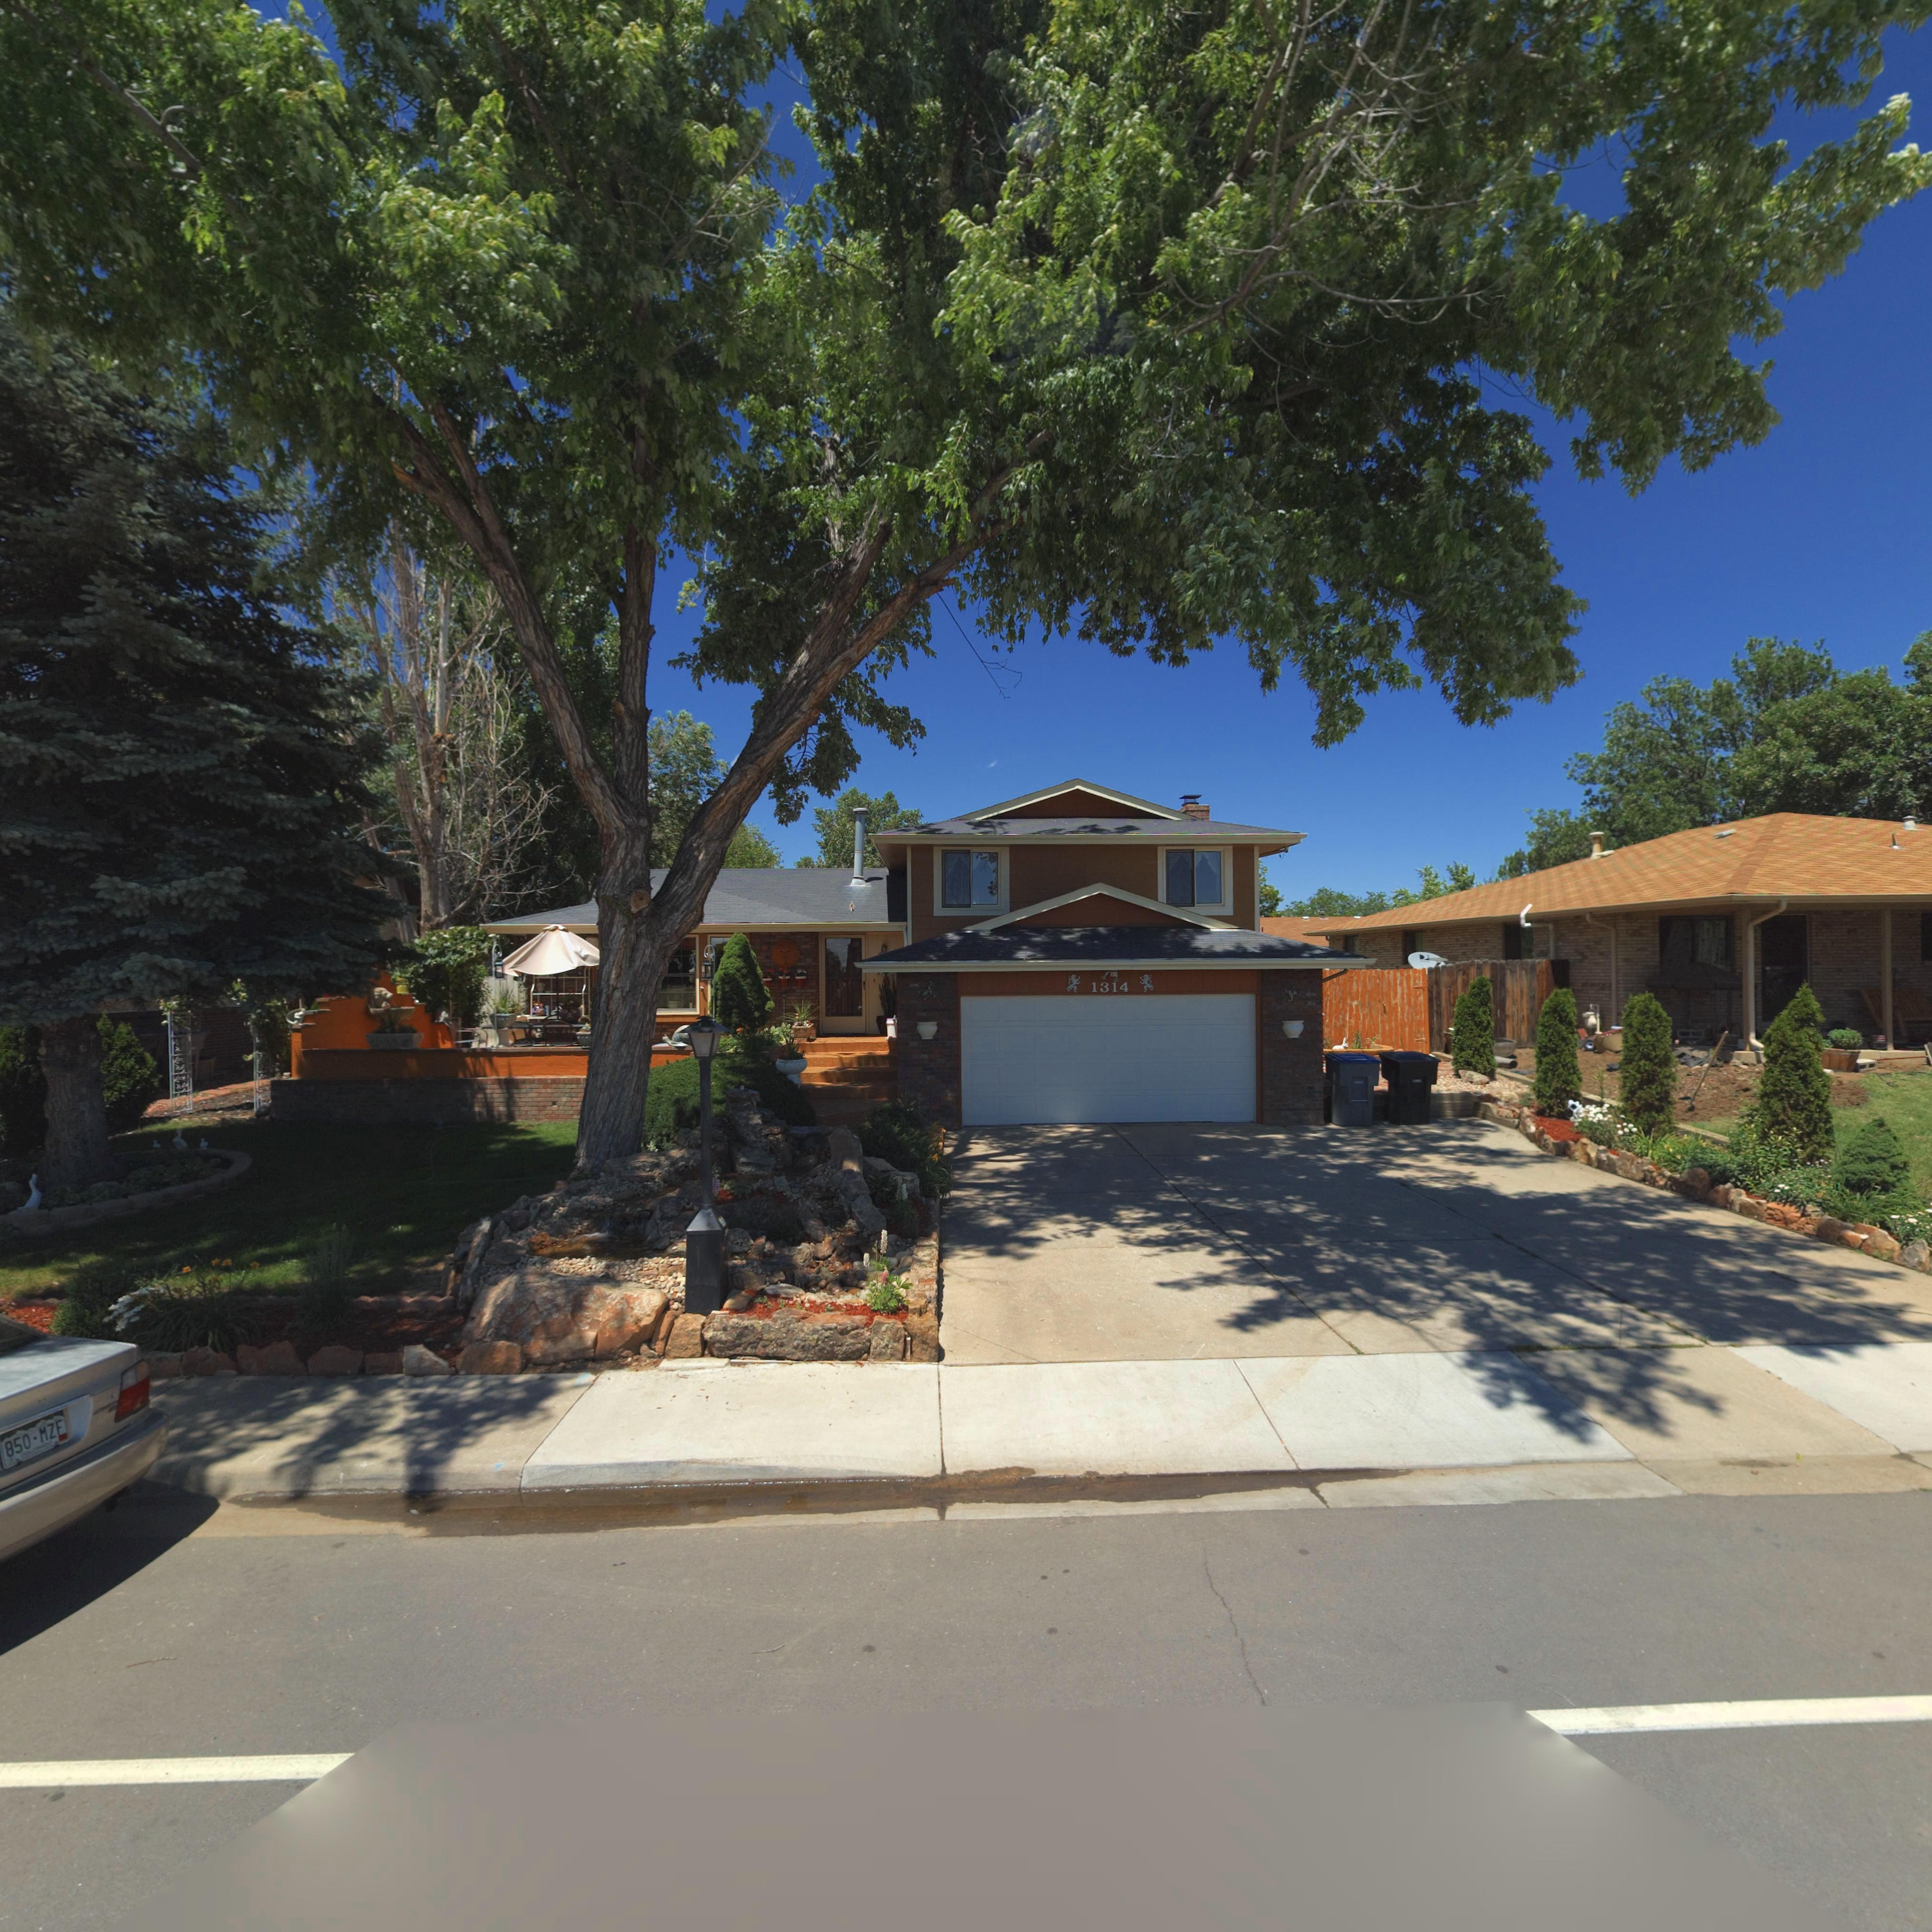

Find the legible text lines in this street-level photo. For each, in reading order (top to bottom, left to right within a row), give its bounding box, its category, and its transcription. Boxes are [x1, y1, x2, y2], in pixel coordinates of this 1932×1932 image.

[1092, 982, 1128, 992] StreetNumber: 1314